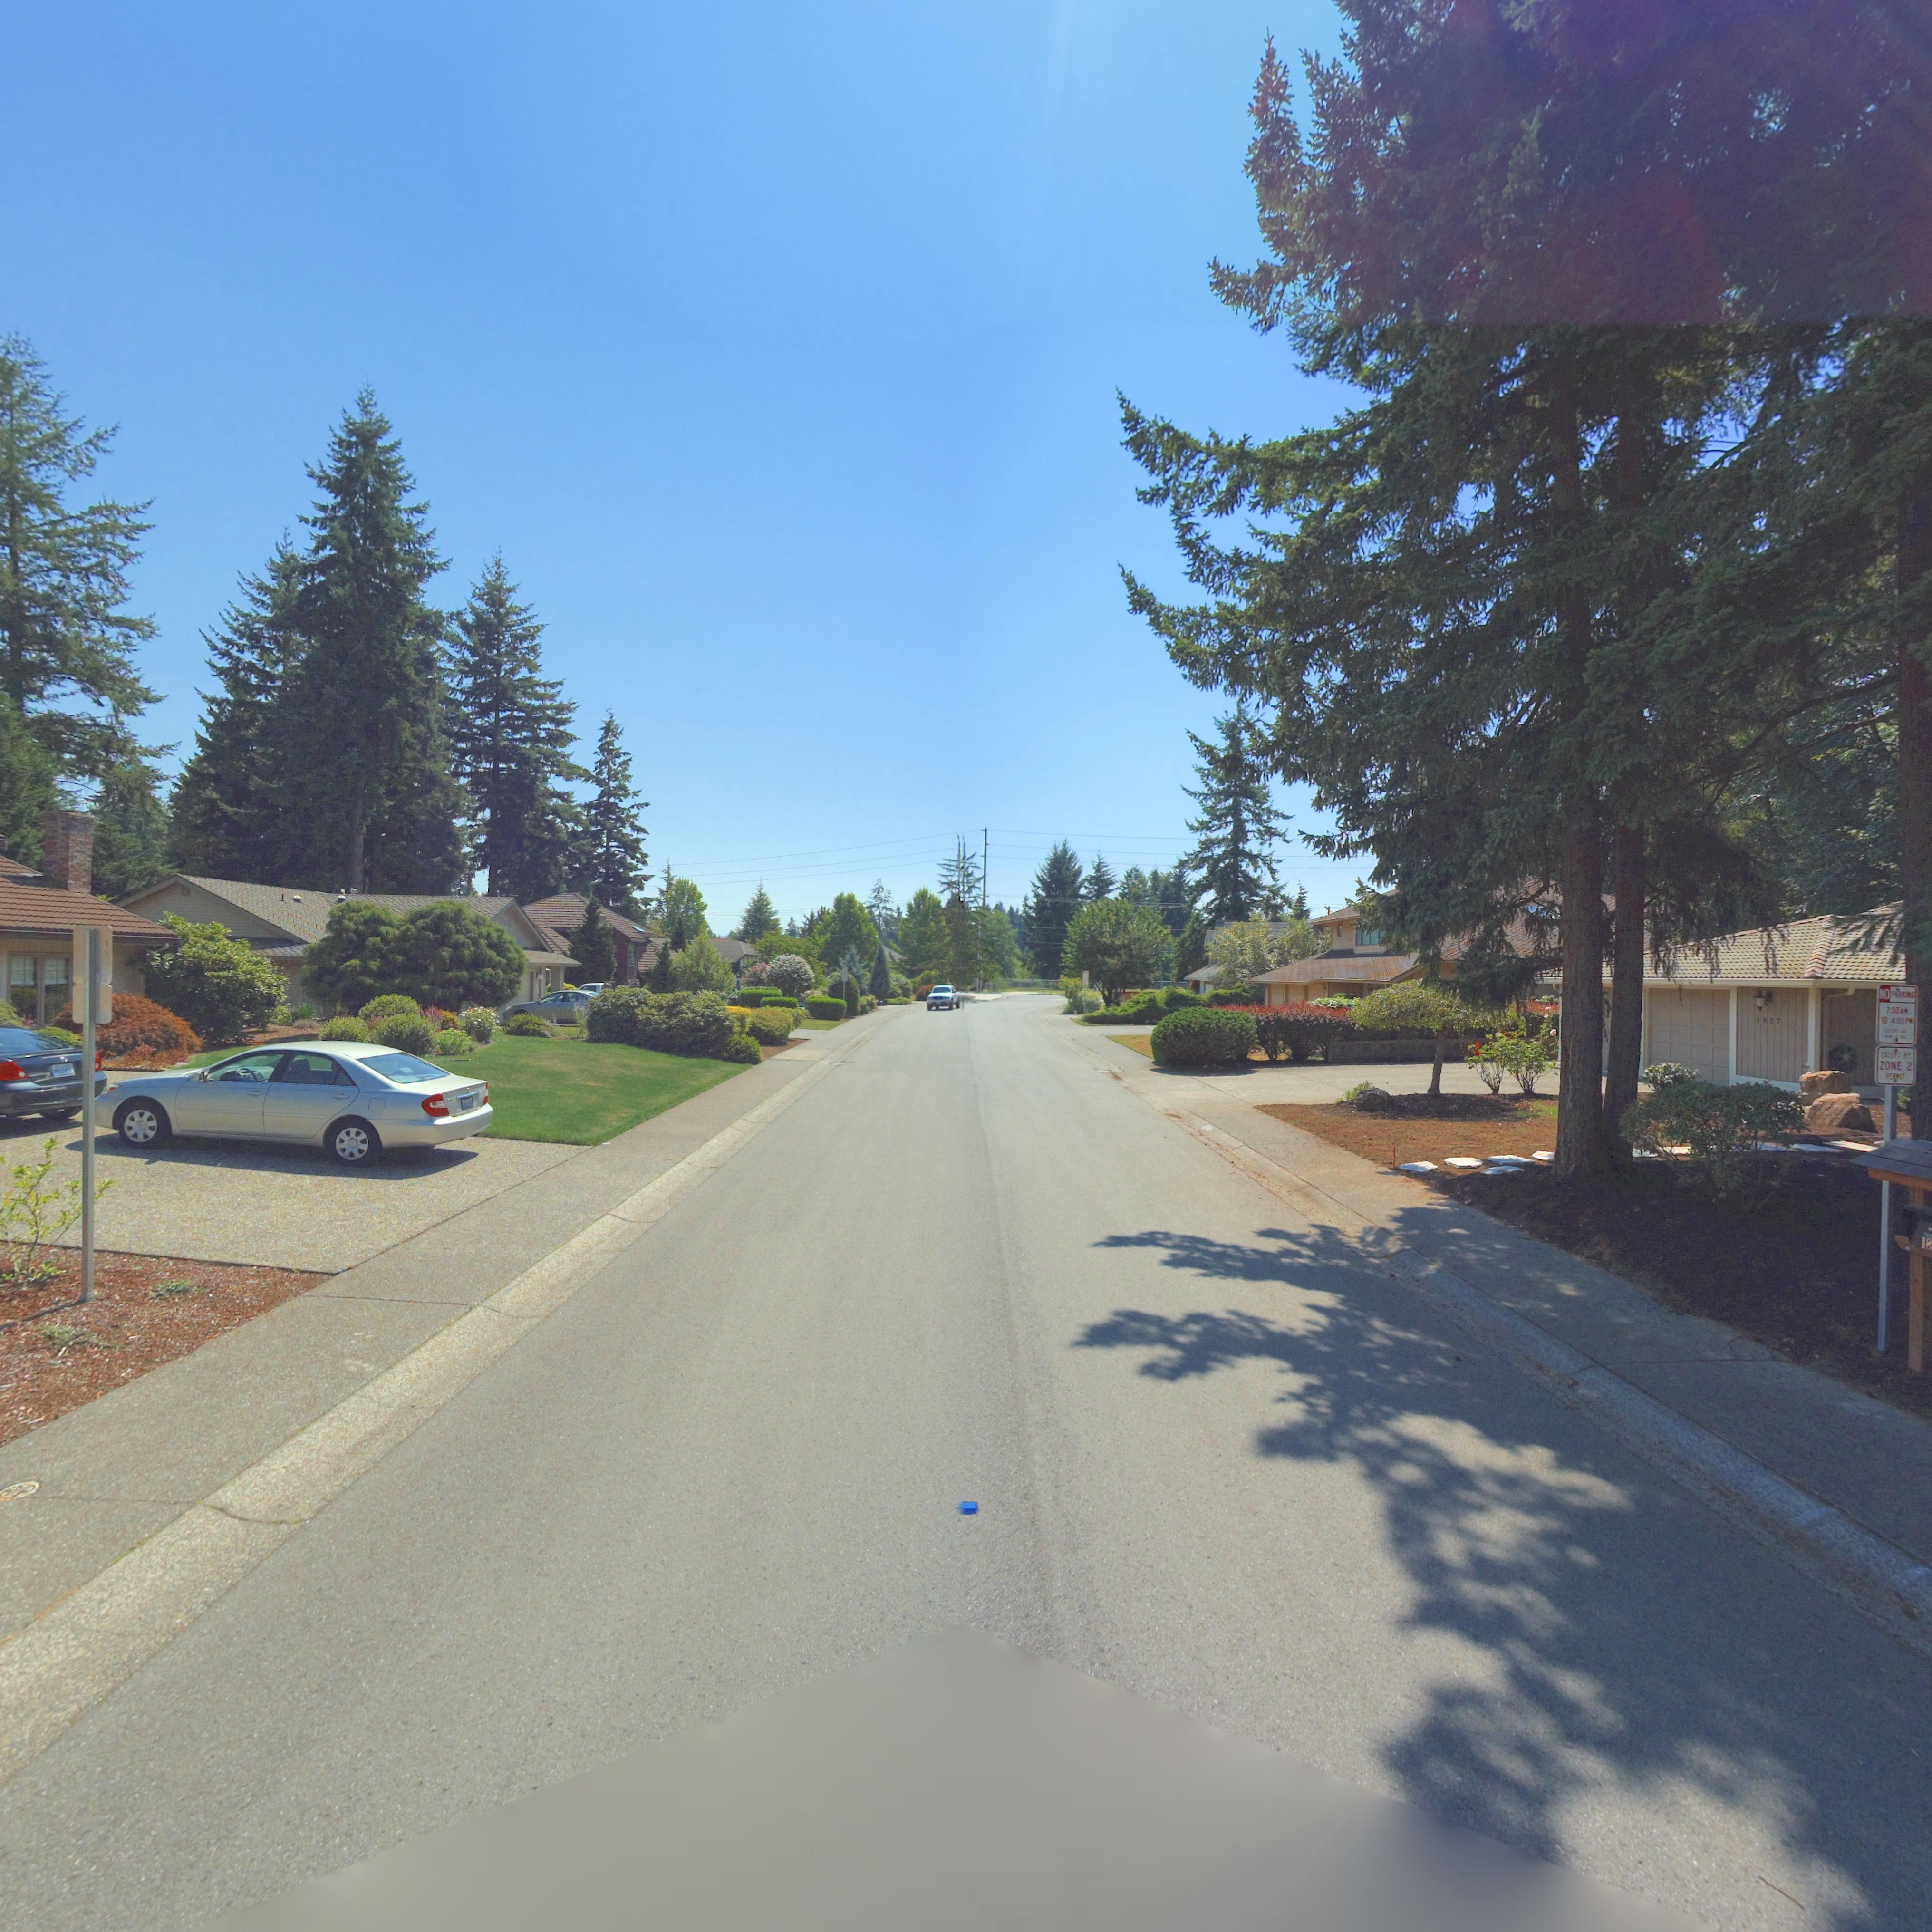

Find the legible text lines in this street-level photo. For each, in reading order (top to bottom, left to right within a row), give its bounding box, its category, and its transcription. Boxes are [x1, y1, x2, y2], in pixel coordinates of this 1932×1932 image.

[1757, 1017, 1782, 1025] StreetNumber: 1827